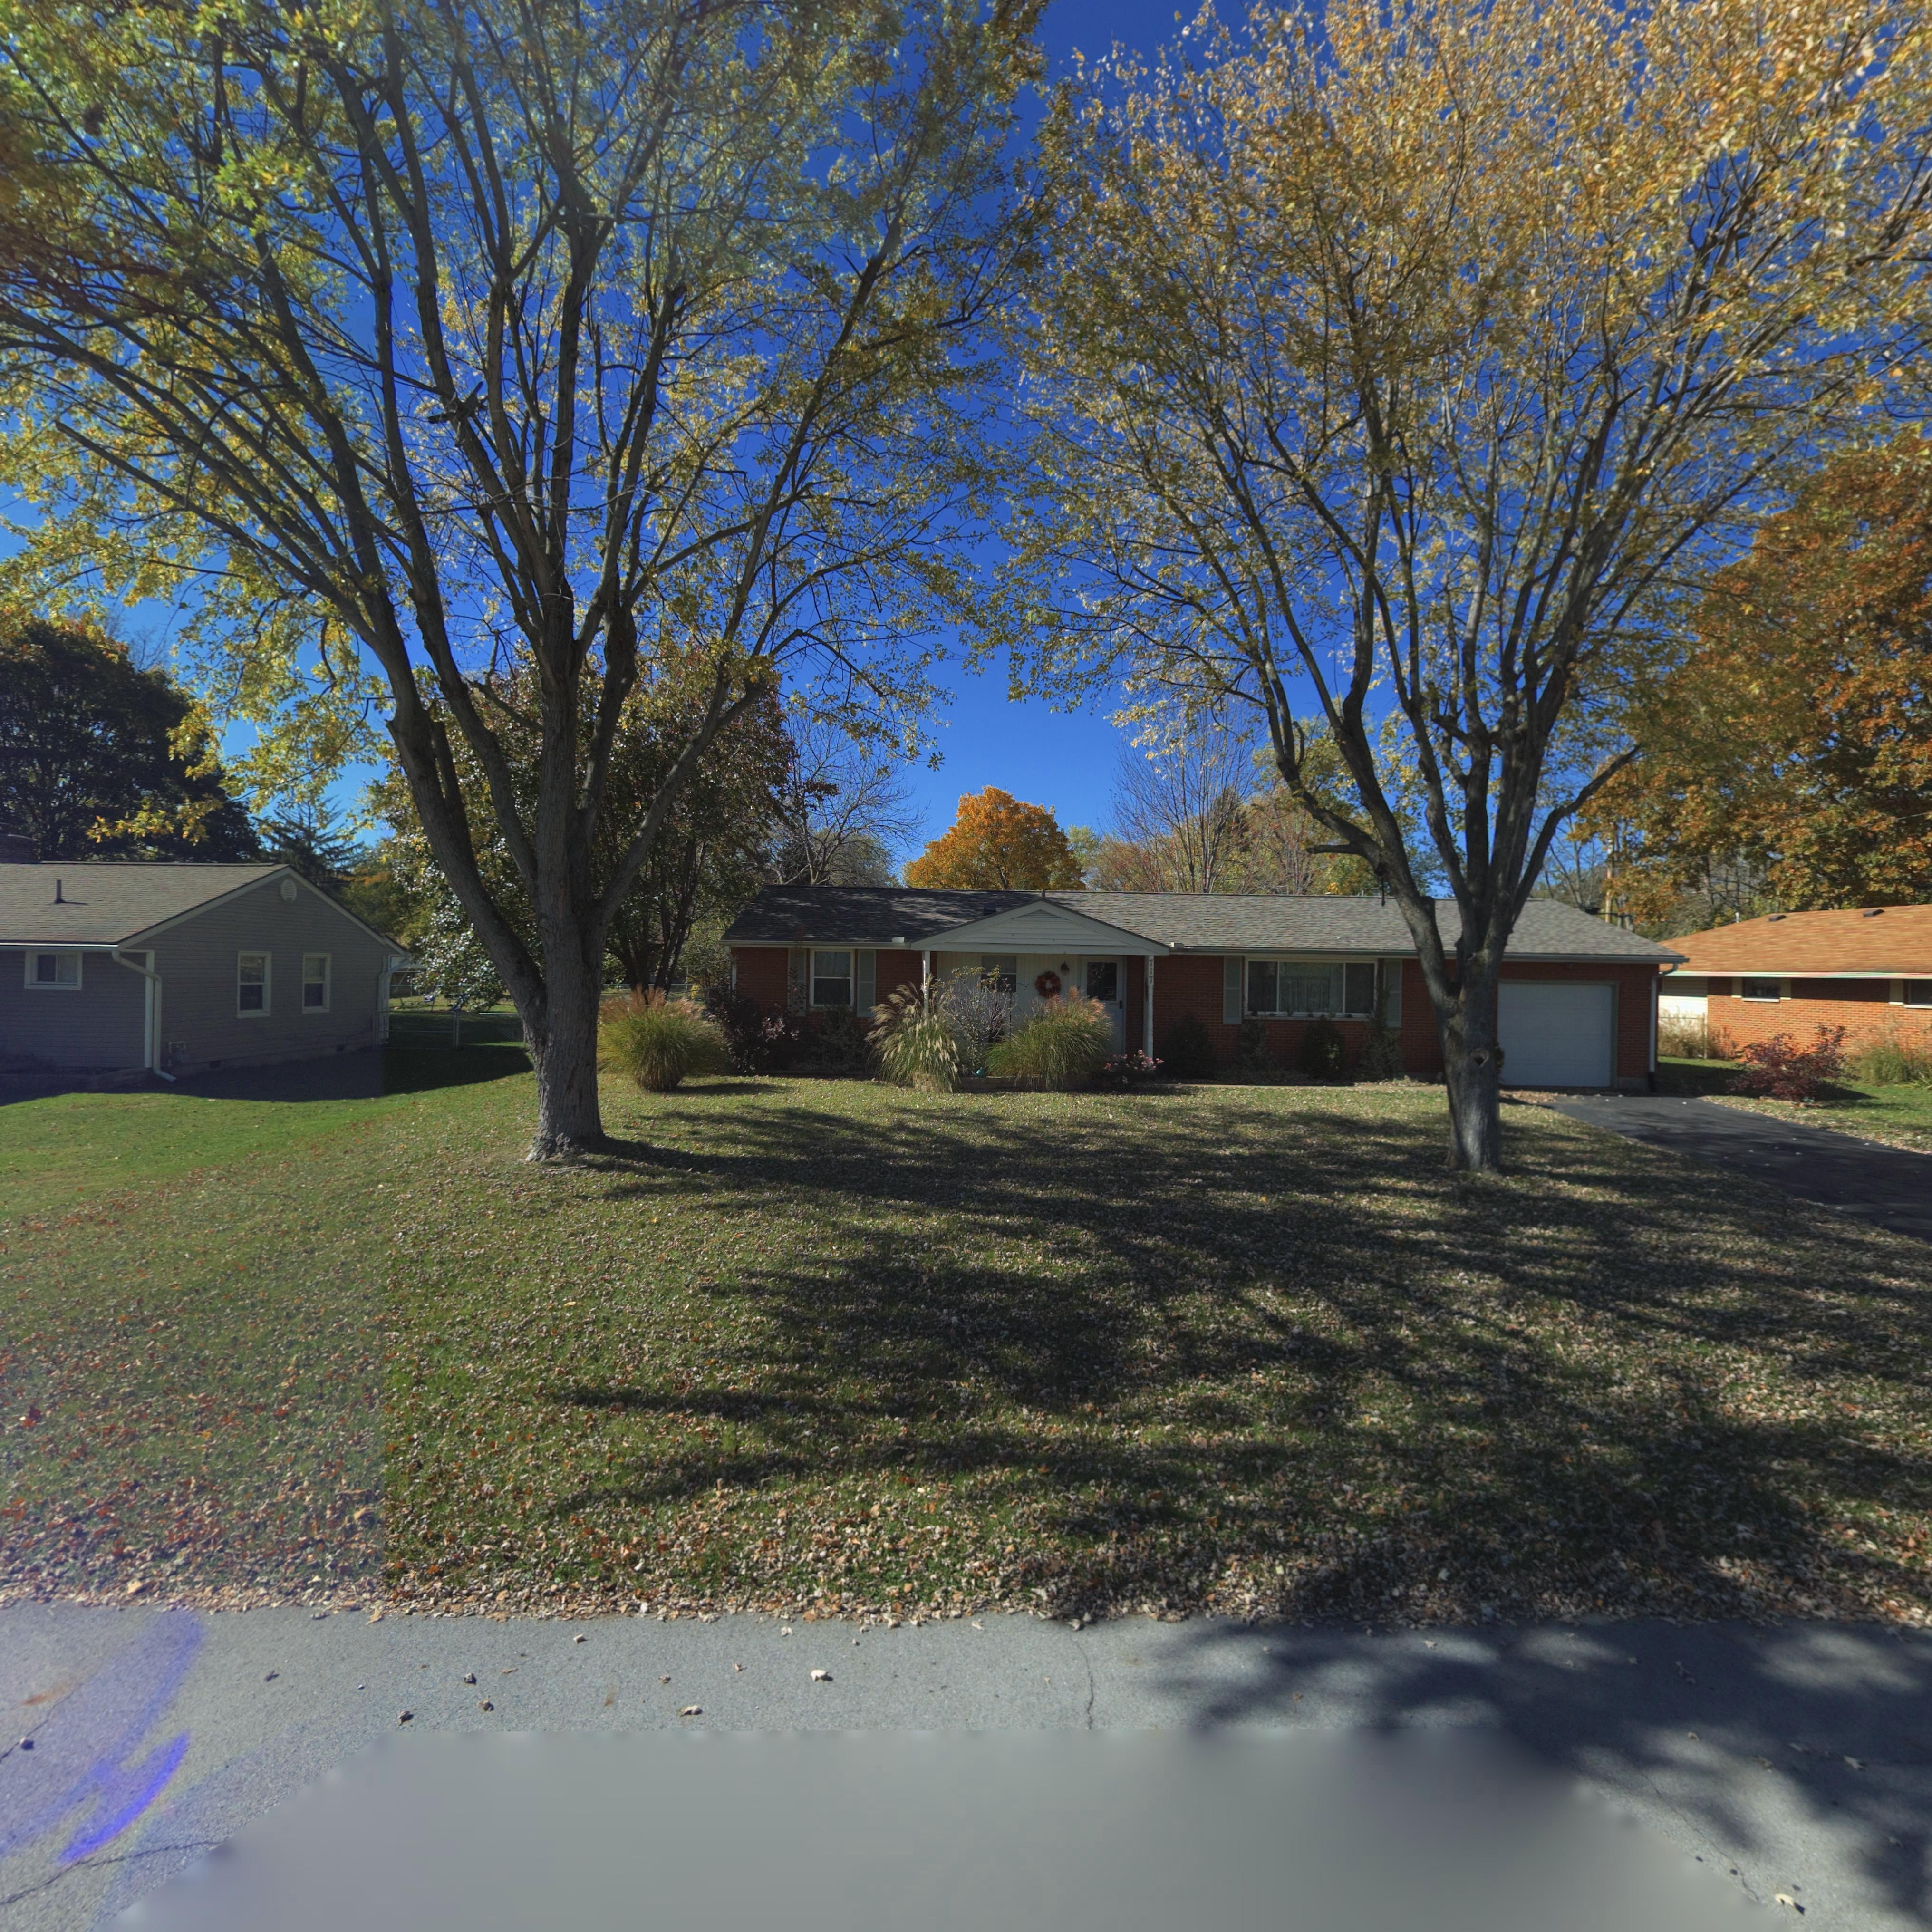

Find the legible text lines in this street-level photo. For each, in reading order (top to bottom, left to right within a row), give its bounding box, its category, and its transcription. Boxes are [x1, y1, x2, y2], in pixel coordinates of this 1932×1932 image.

[1148, 959, 1154, 984] StreetNumber: 717